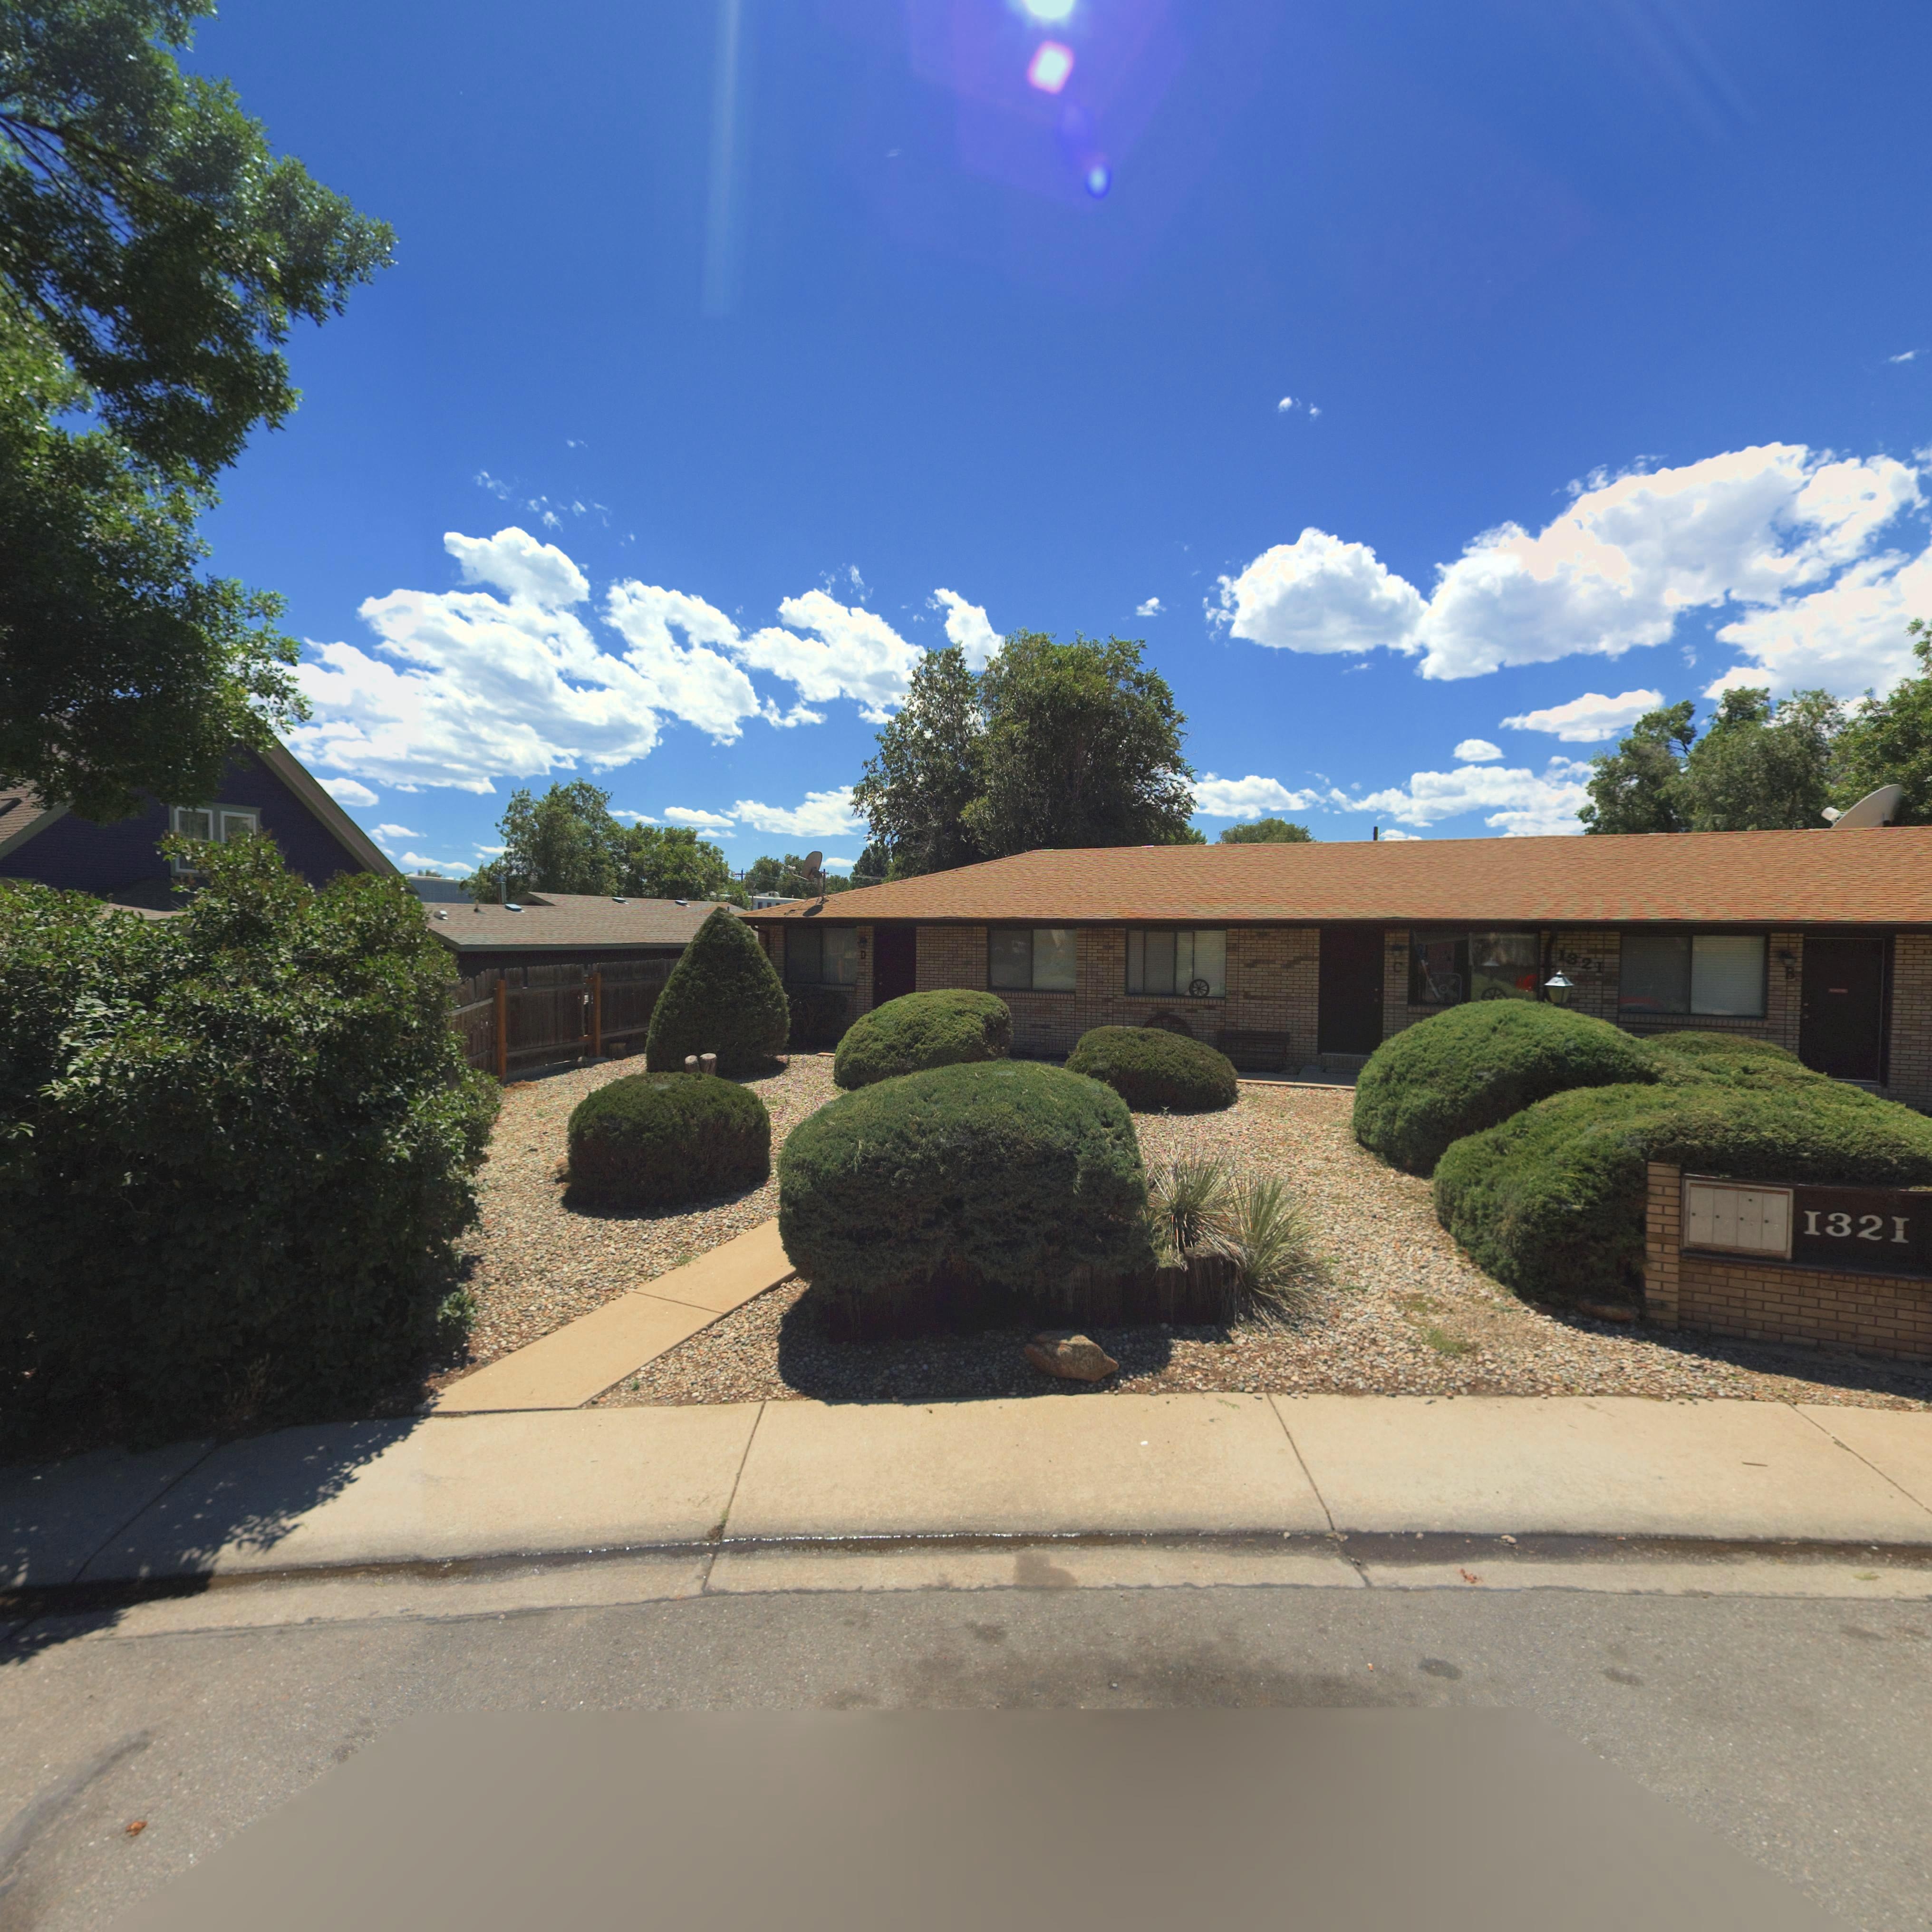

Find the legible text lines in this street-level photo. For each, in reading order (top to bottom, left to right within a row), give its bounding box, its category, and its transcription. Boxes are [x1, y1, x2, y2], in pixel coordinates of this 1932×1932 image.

[1557, 949, 1603, 974] StreetNumber: 1321
[1802, 1209, 1910, 1244] StreetNumber: 1321